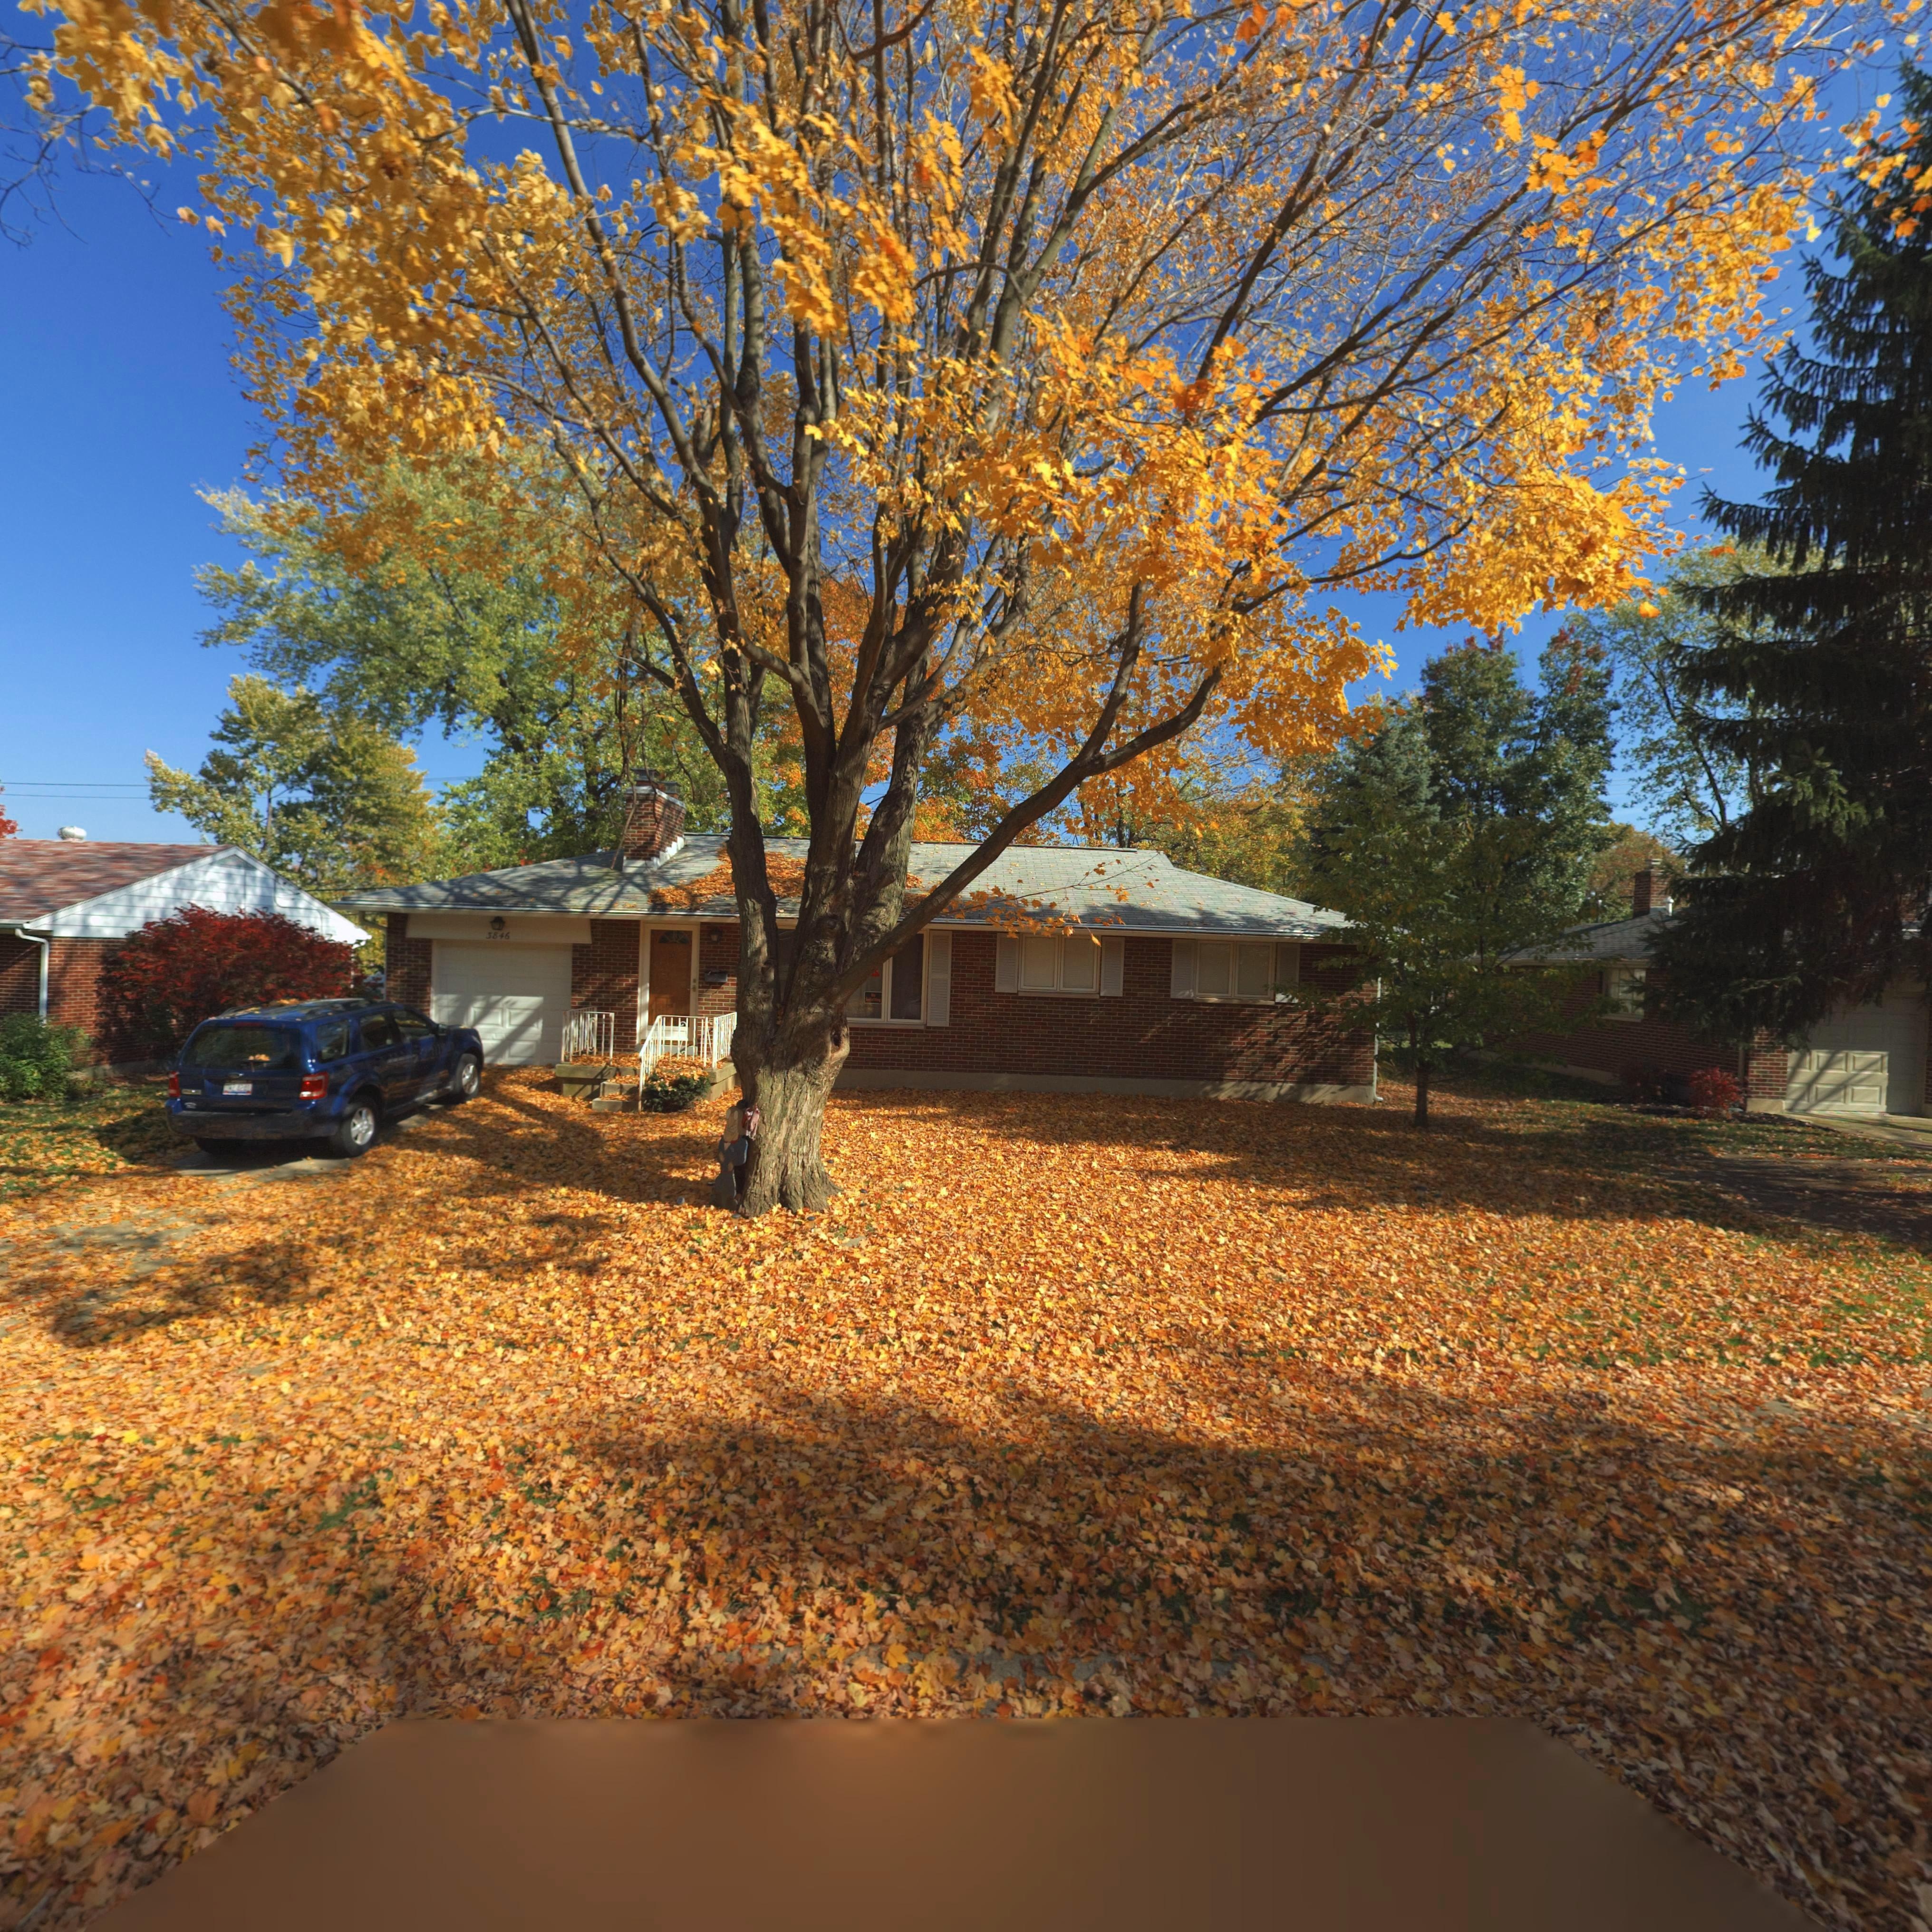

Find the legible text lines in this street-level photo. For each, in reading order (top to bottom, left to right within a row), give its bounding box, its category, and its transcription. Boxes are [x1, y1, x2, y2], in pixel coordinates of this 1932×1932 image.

[484, 931, 512, 941] StreetNumber: 3846